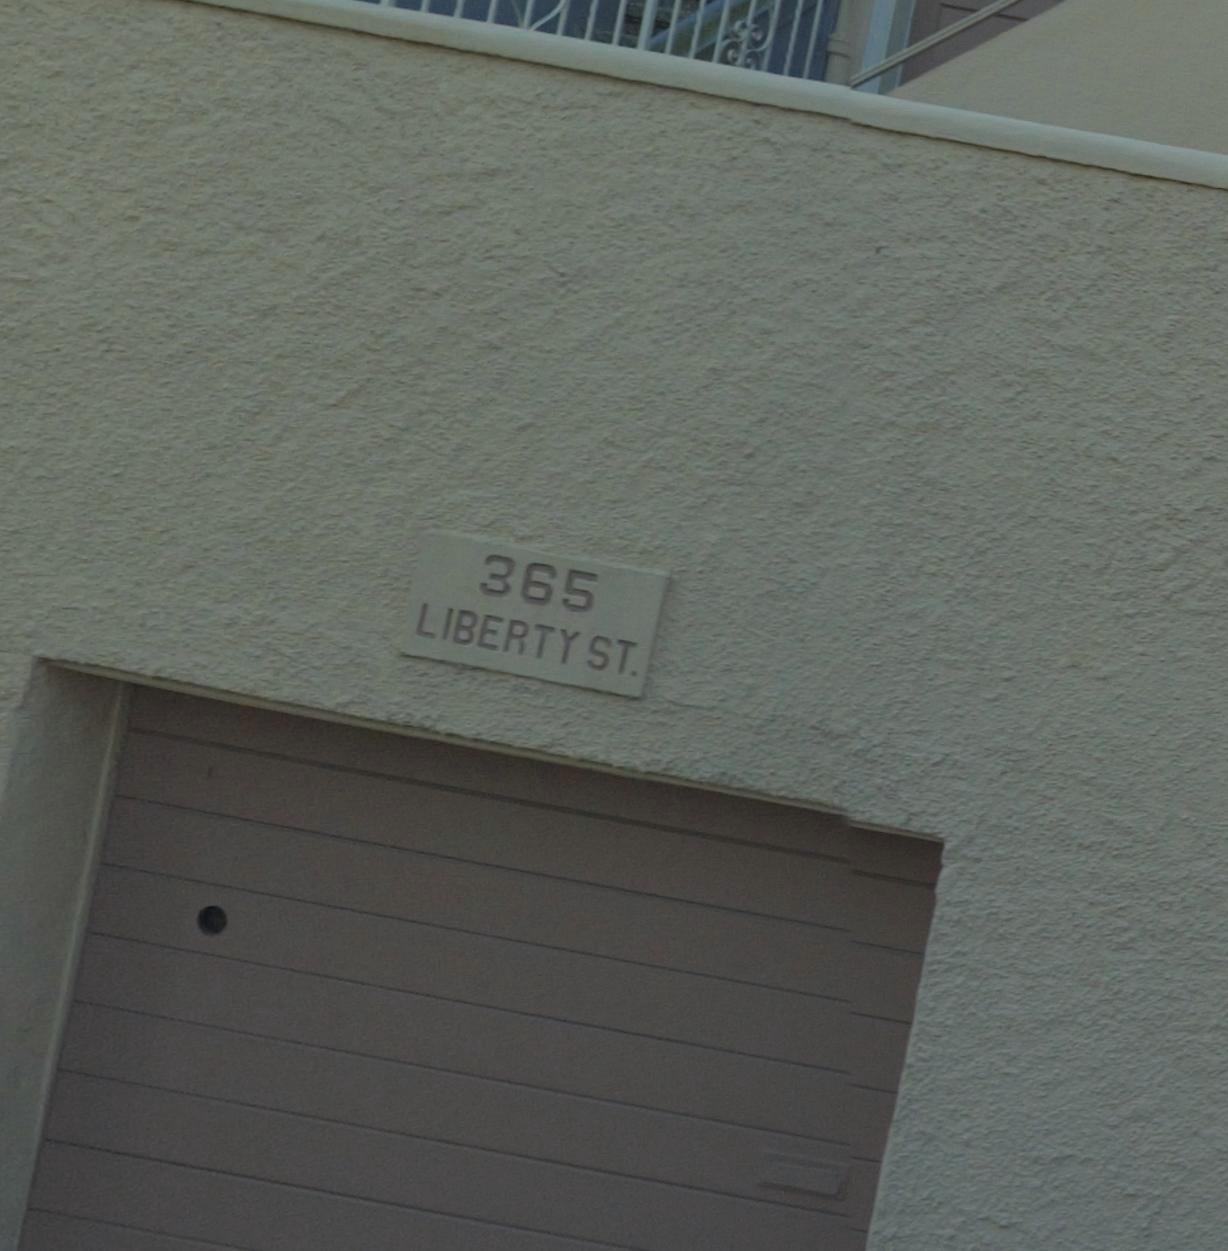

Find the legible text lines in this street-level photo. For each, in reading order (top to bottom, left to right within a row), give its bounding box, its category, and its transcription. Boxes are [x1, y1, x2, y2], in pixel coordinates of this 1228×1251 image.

[473, 550, 602, 617] StreetNumber: 365
[414, 599, 643, 681] StreetName: LIBERTY ST.